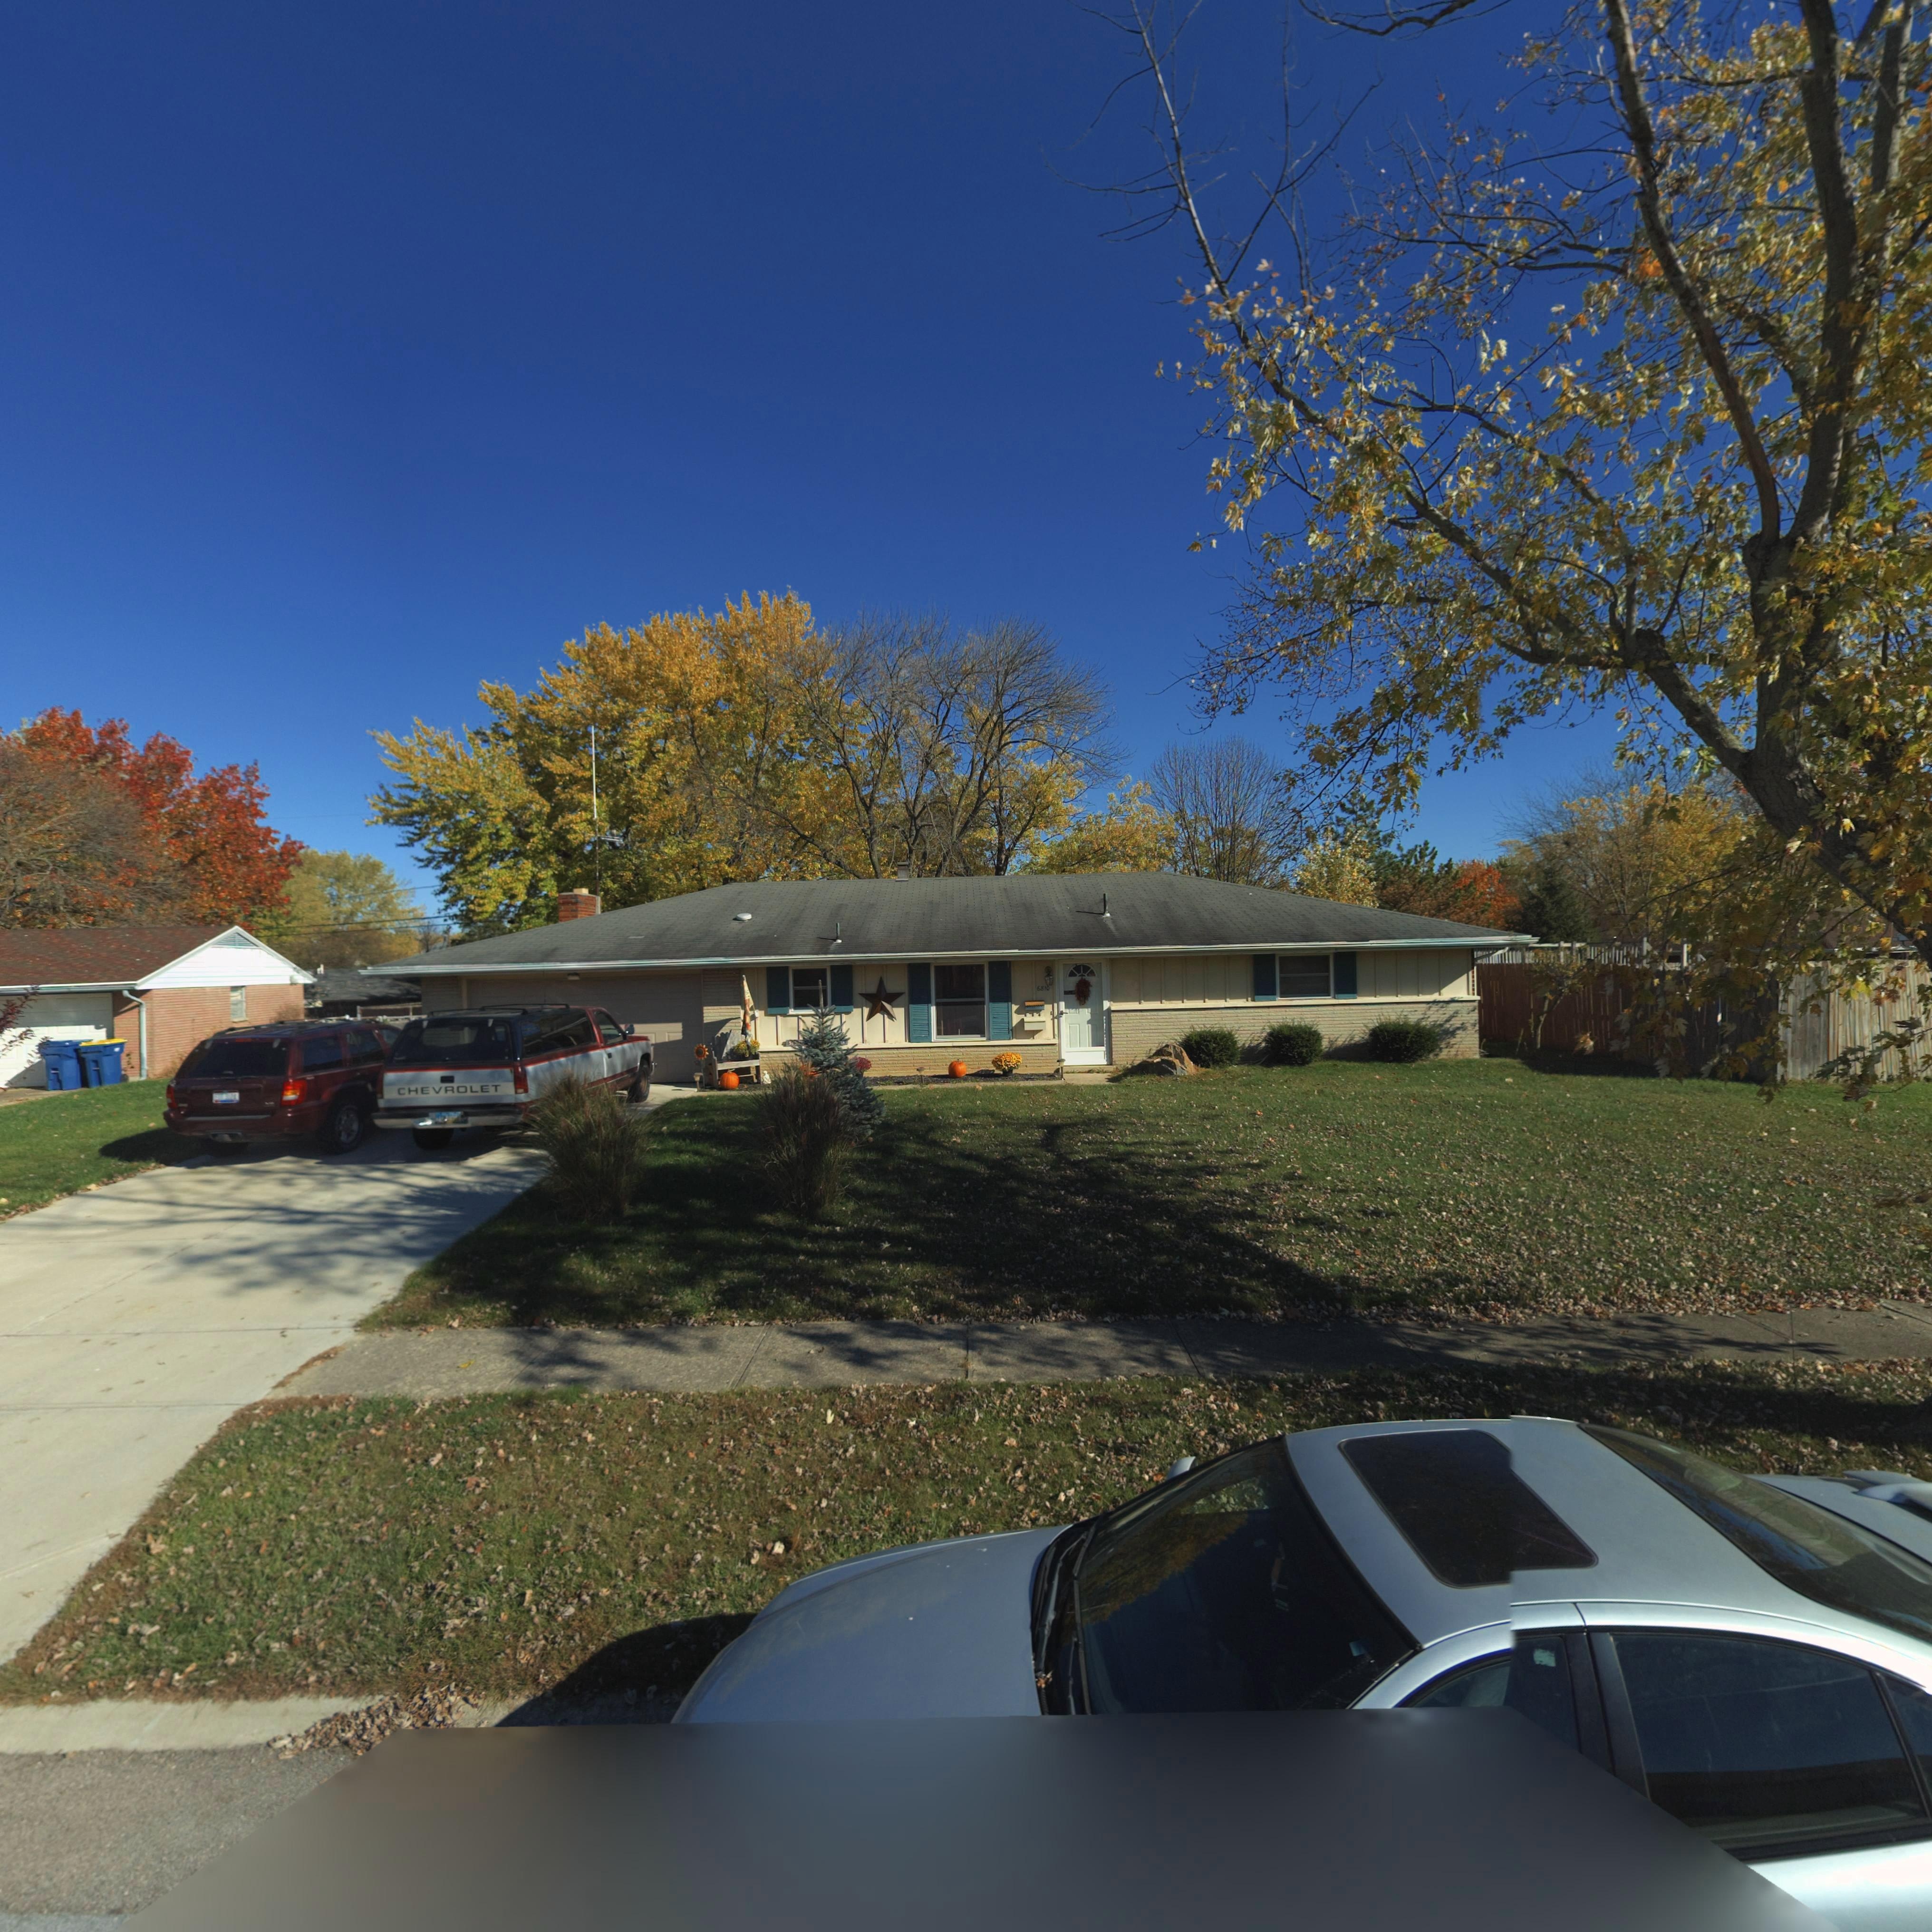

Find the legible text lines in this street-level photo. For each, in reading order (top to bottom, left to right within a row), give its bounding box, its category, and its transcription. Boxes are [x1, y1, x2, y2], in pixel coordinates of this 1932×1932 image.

[1036, 985, 1050, 991] StreetNumber: 6810
[396, 1084, 502, 1096] None: CHEVROLET